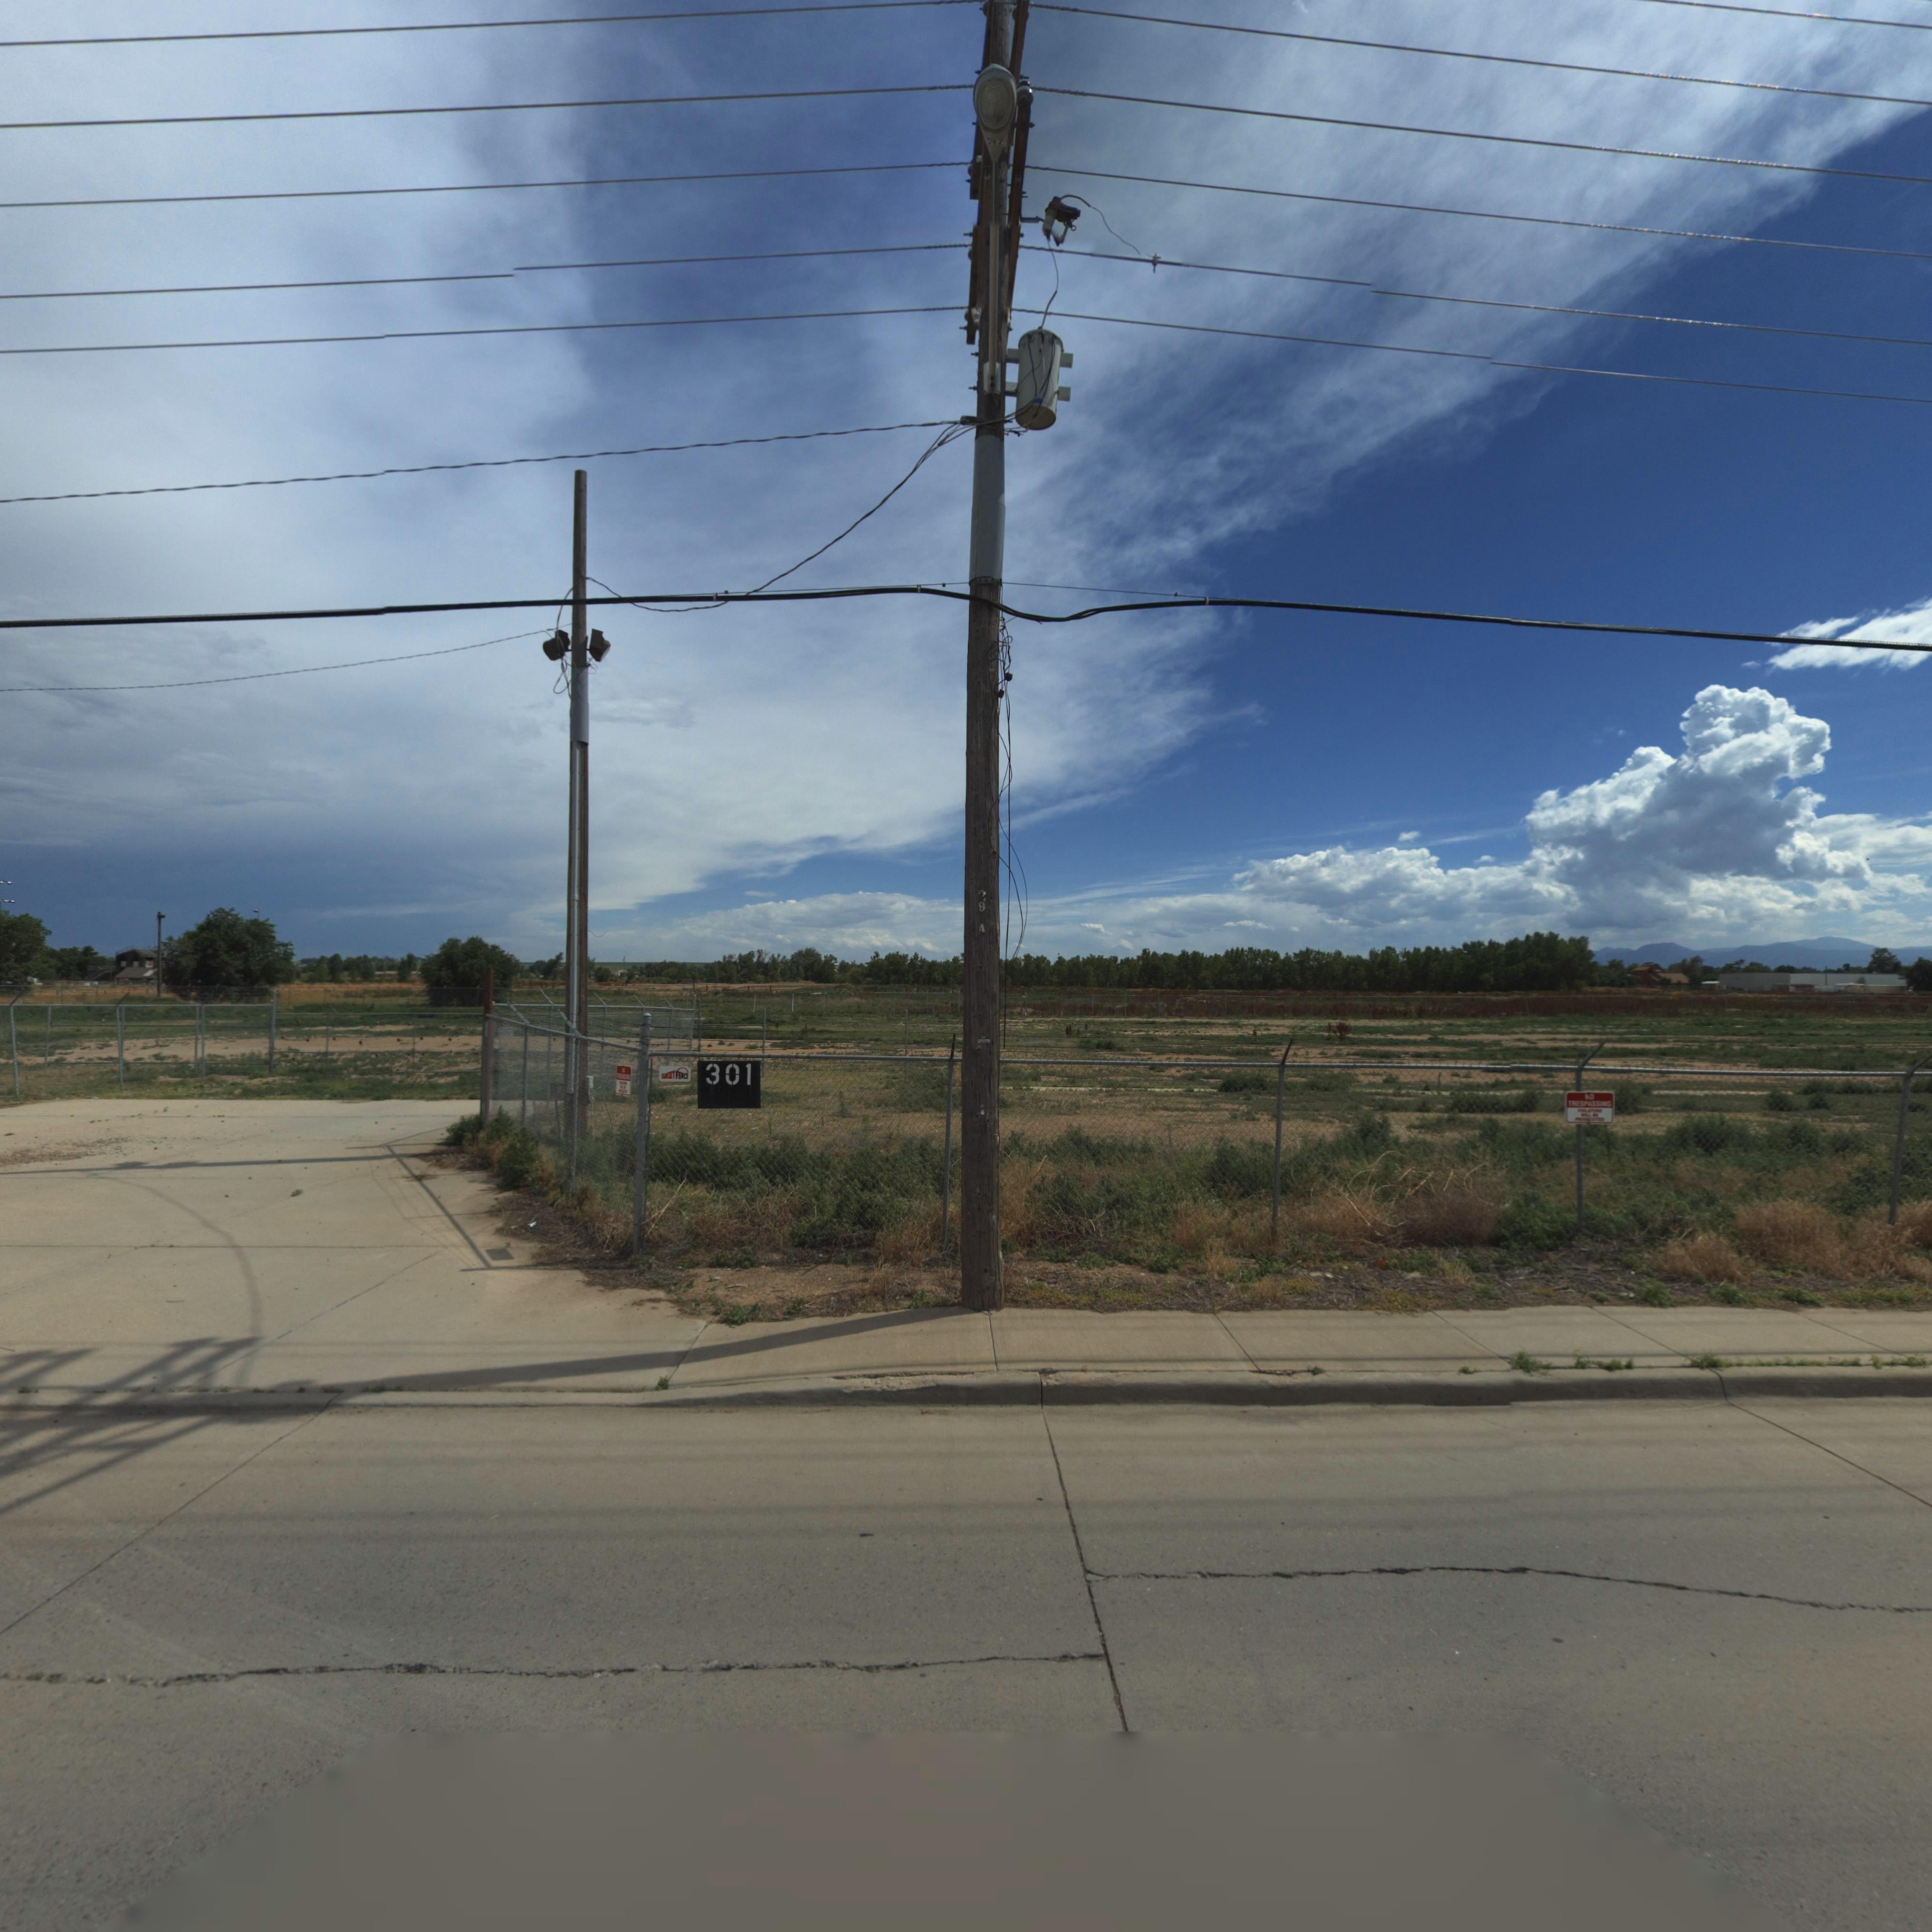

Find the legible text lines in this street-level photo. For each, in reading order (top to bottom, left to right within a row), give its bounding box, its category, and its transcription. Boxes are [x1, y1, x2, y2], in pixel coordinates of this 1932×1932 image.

[705, 1063, 752, 1086] StreetNumber: 301